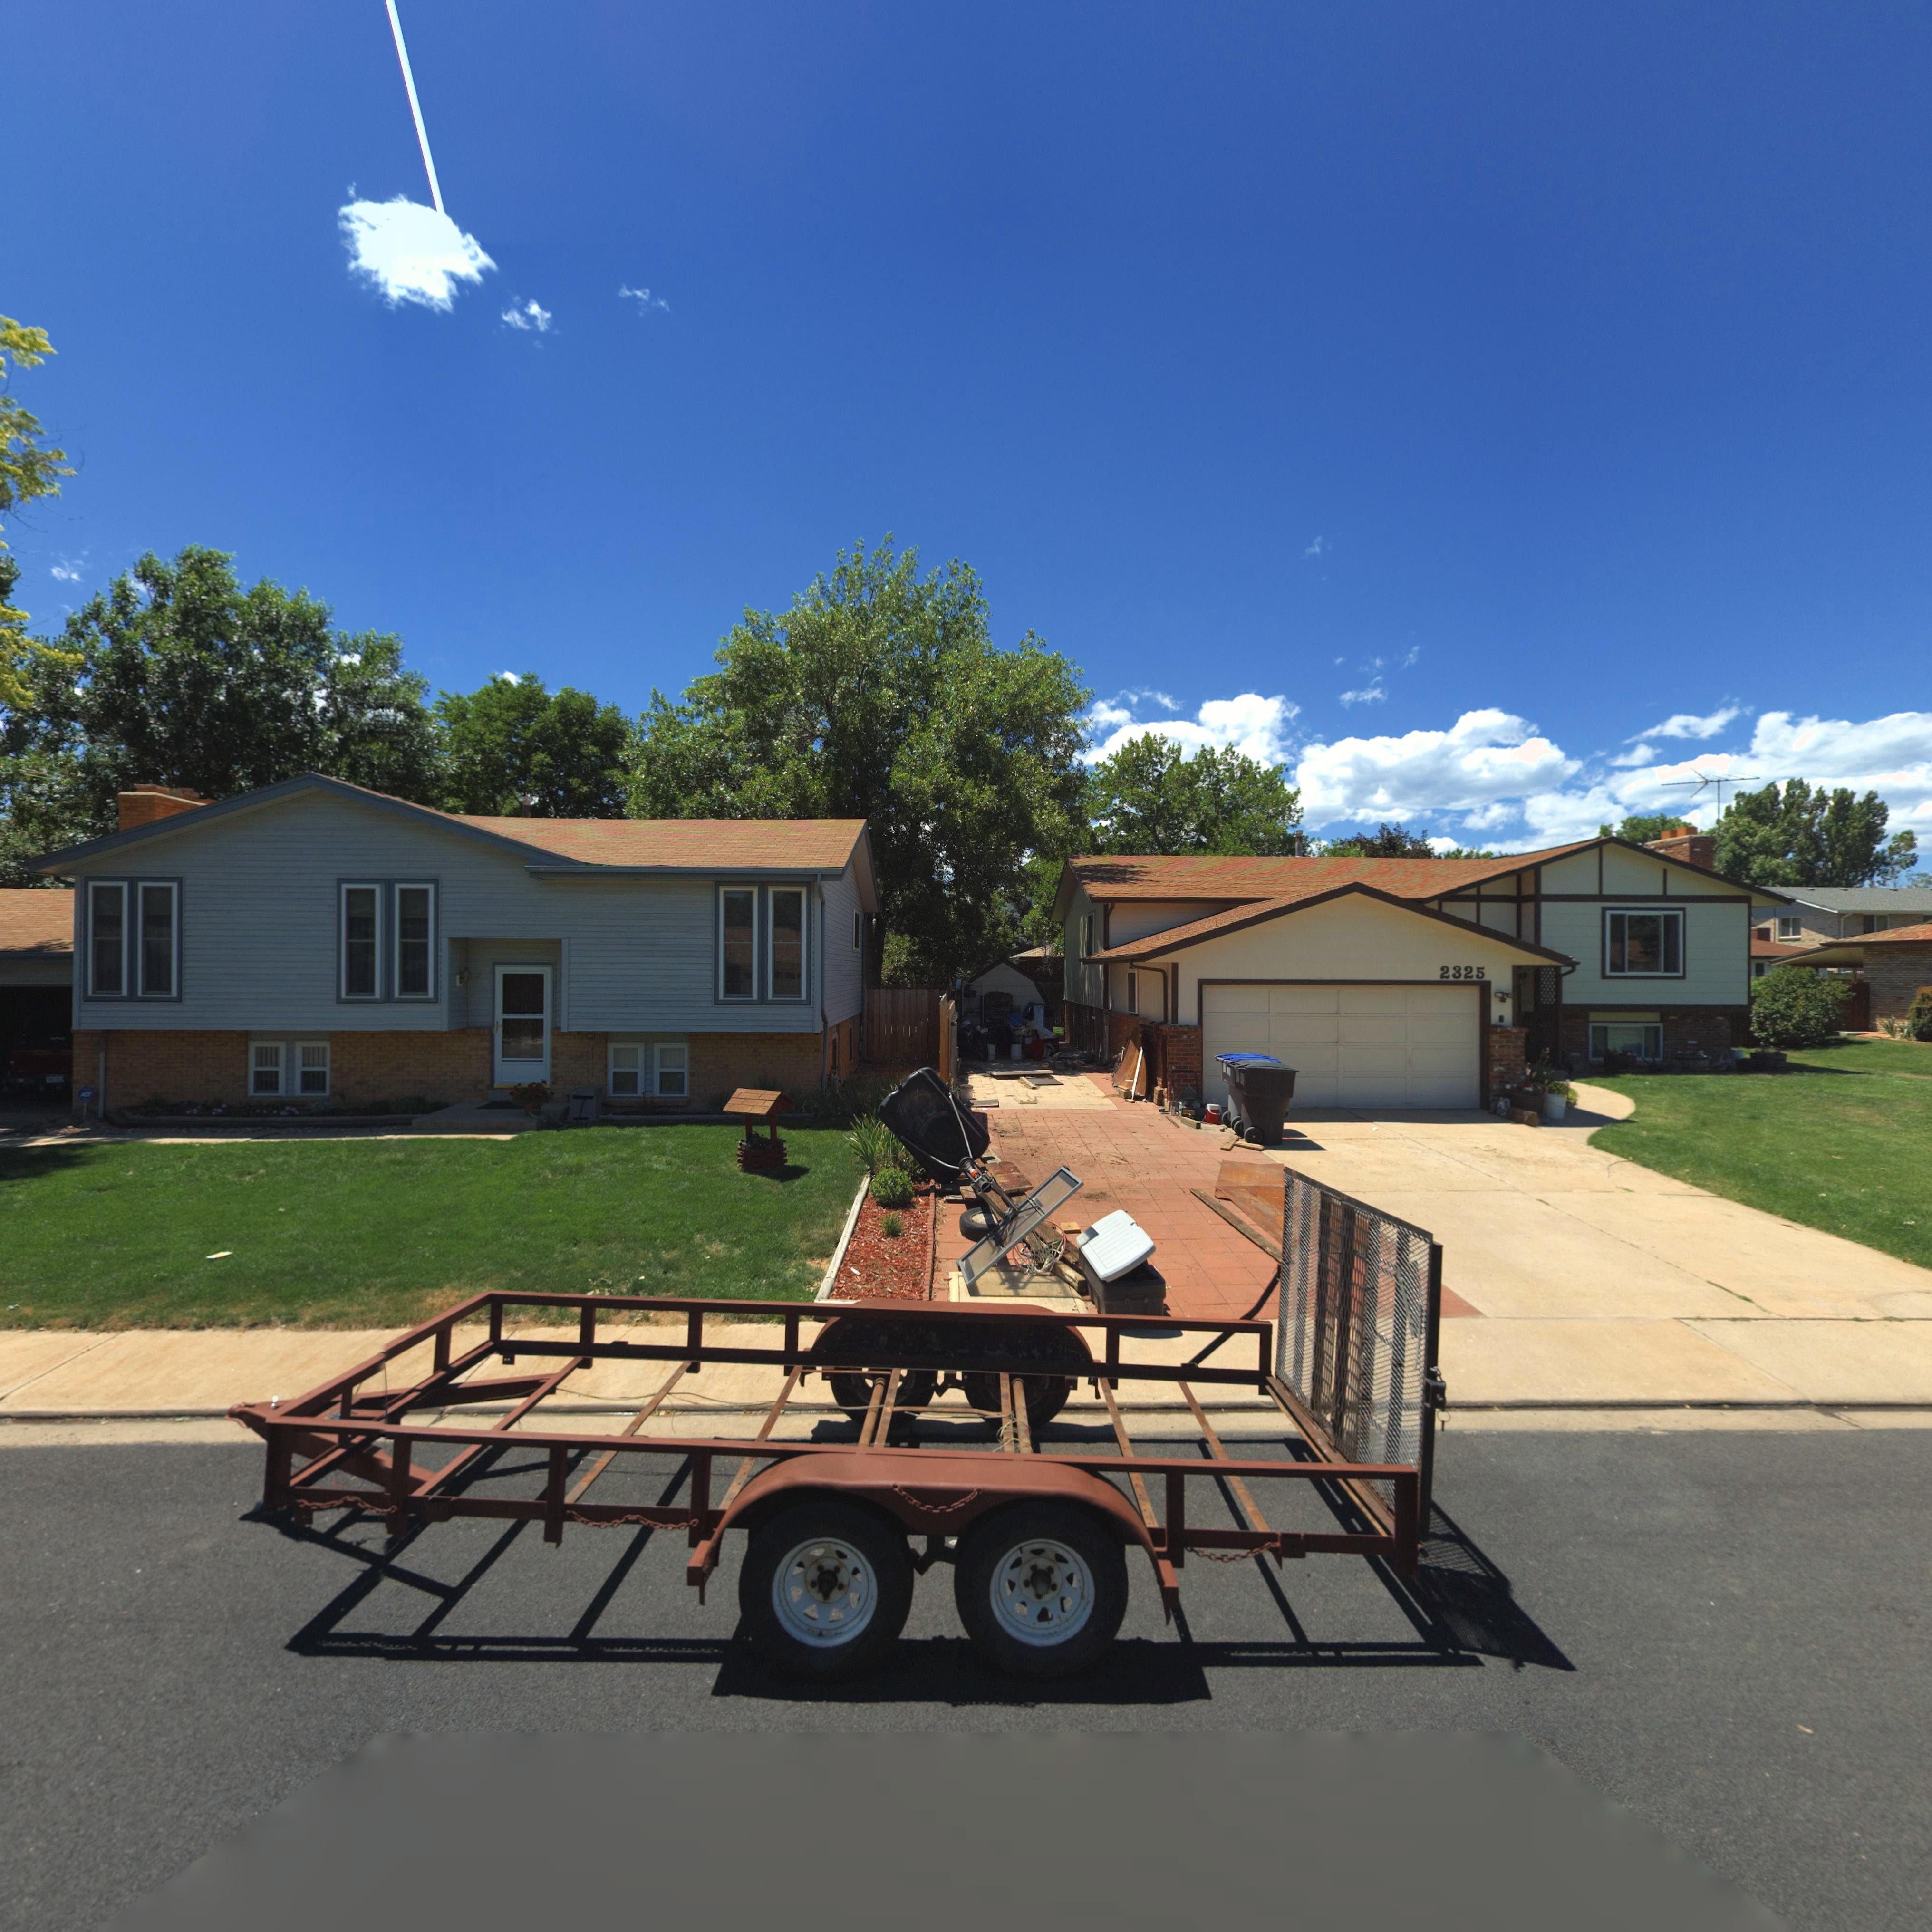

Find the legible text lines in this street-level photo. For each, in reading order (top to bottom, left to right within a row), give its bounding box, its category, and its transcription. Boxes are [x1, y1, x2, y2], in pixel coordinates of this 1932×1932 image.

[1439, 965, 1485, 979] StreetNumber: 2325